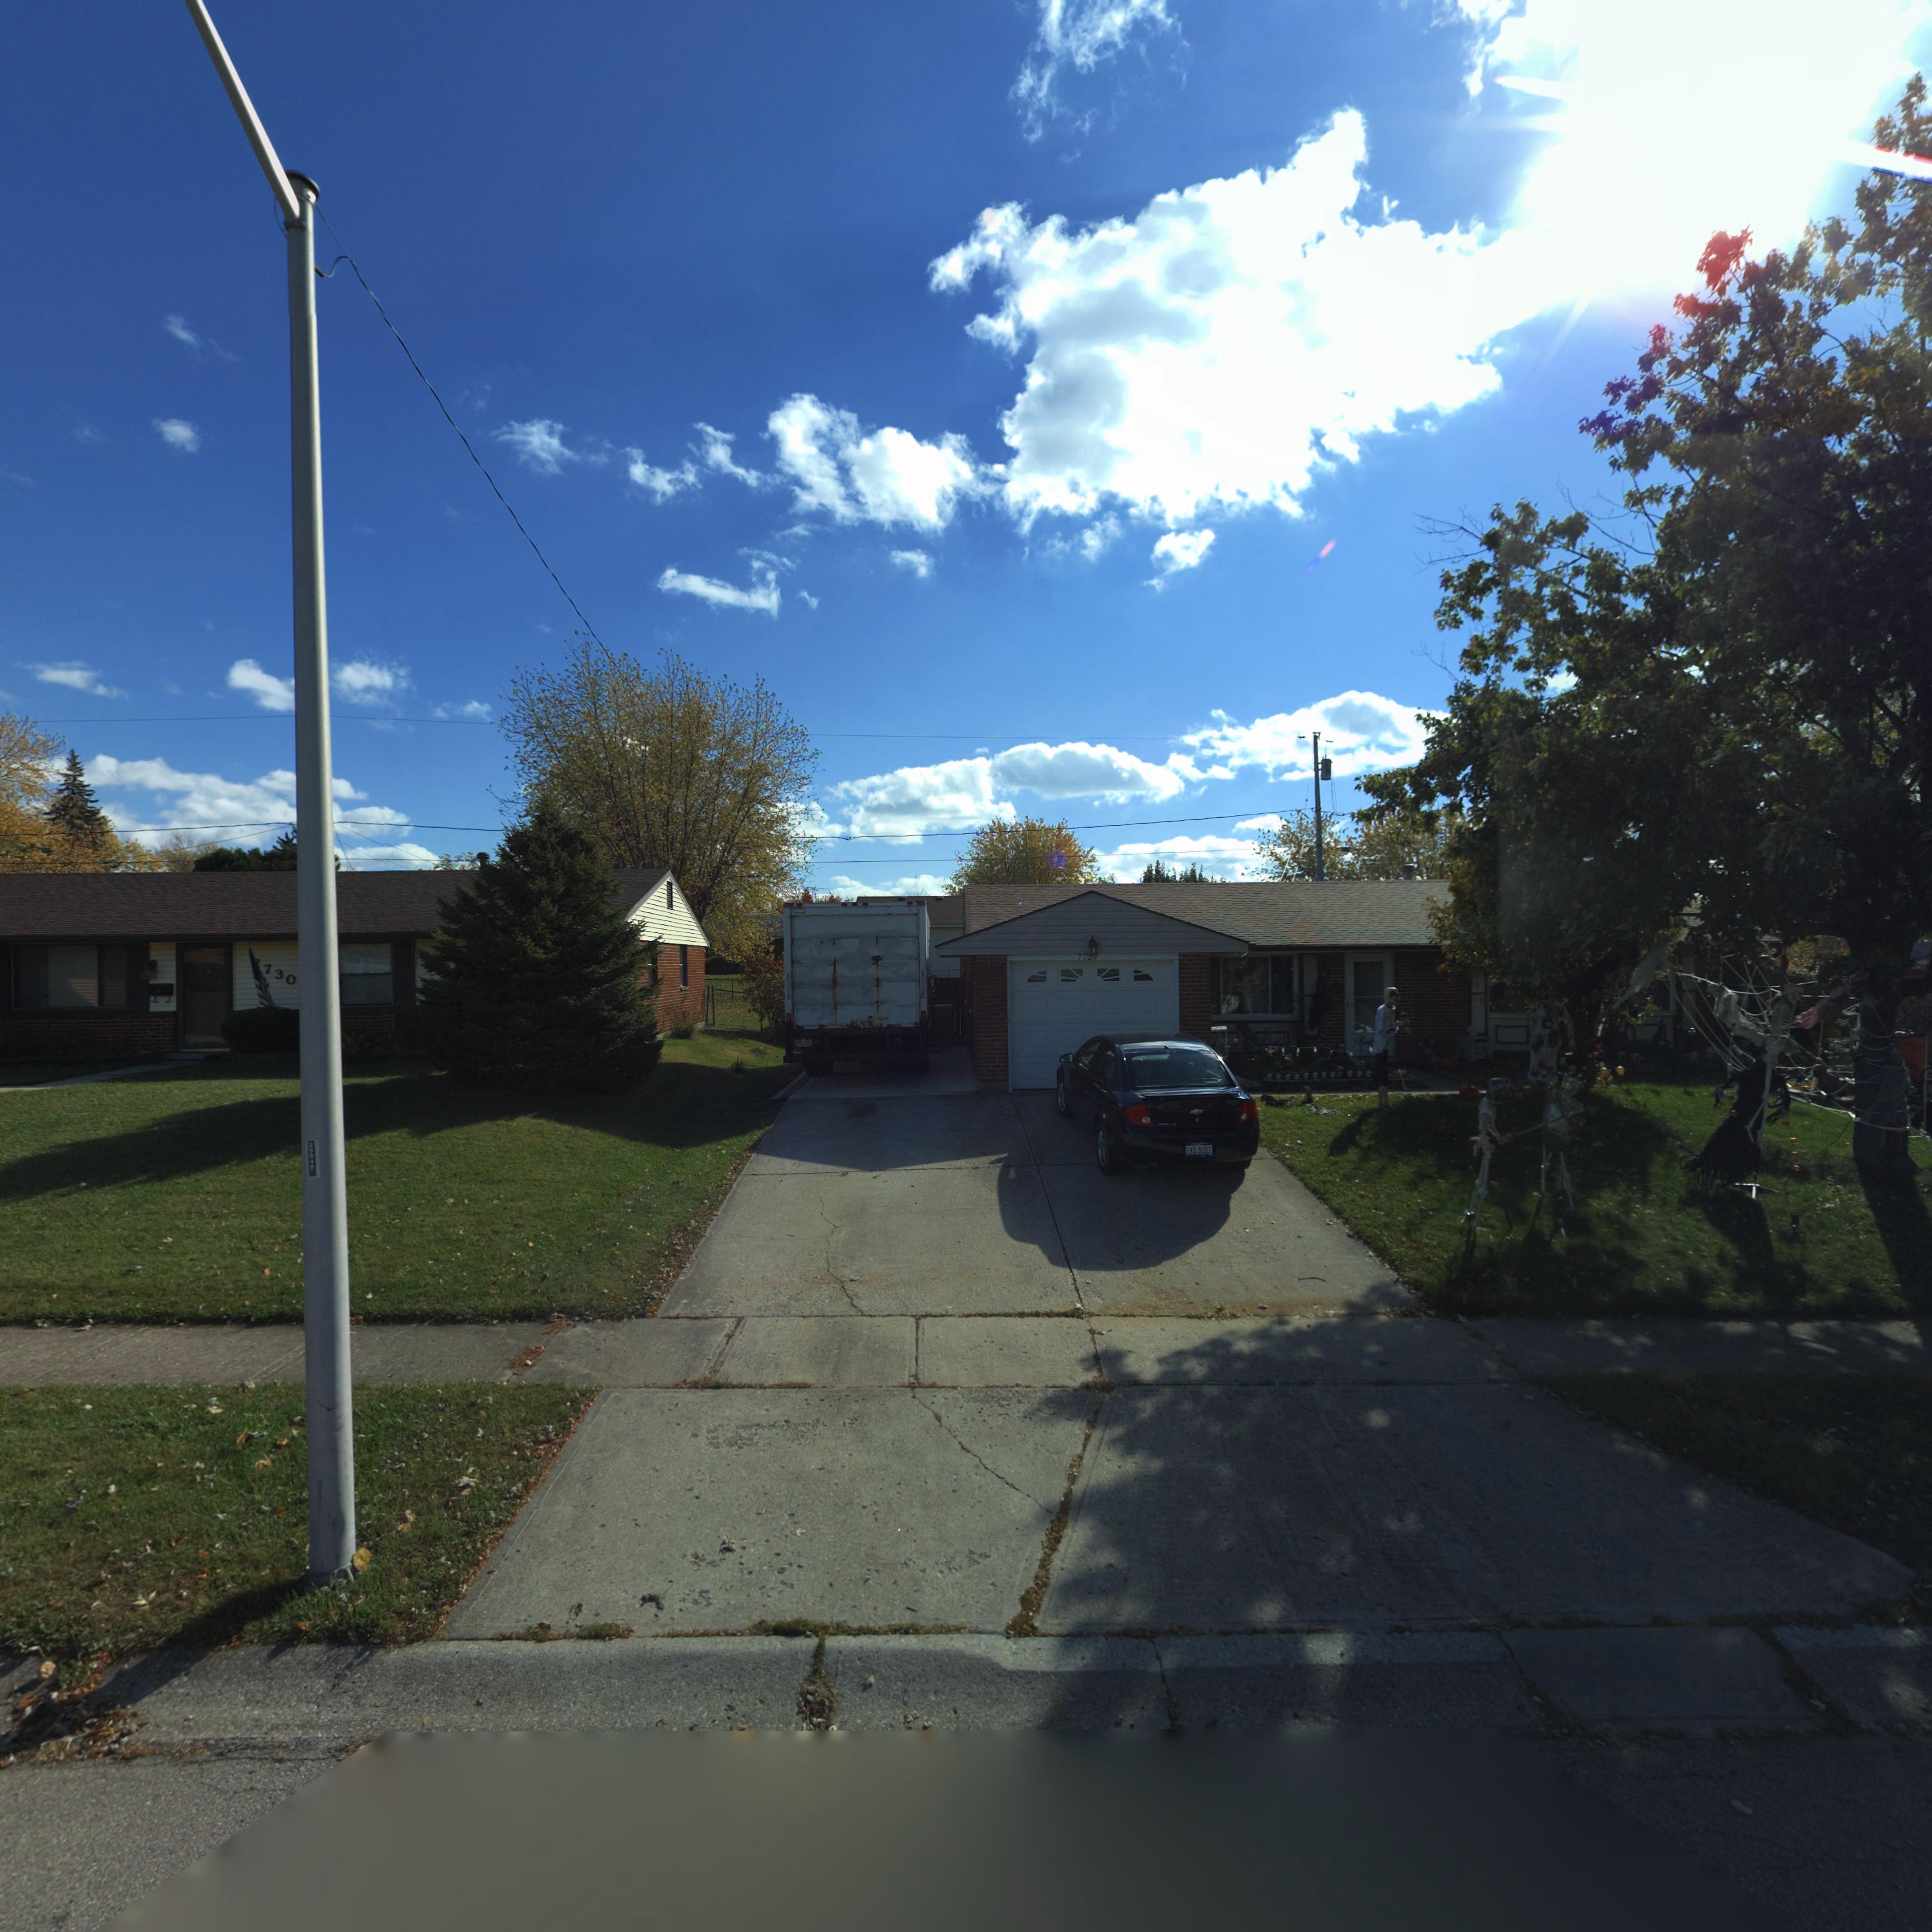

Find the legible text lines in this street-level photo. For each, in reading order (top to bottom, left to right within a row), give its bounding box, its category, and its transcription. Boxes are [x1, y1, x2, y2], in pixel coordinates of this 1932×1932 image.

[1077, 953, 1097, 960] StreetNumber: 7720
[263, 964, 297, 986] StreetNumber: 730